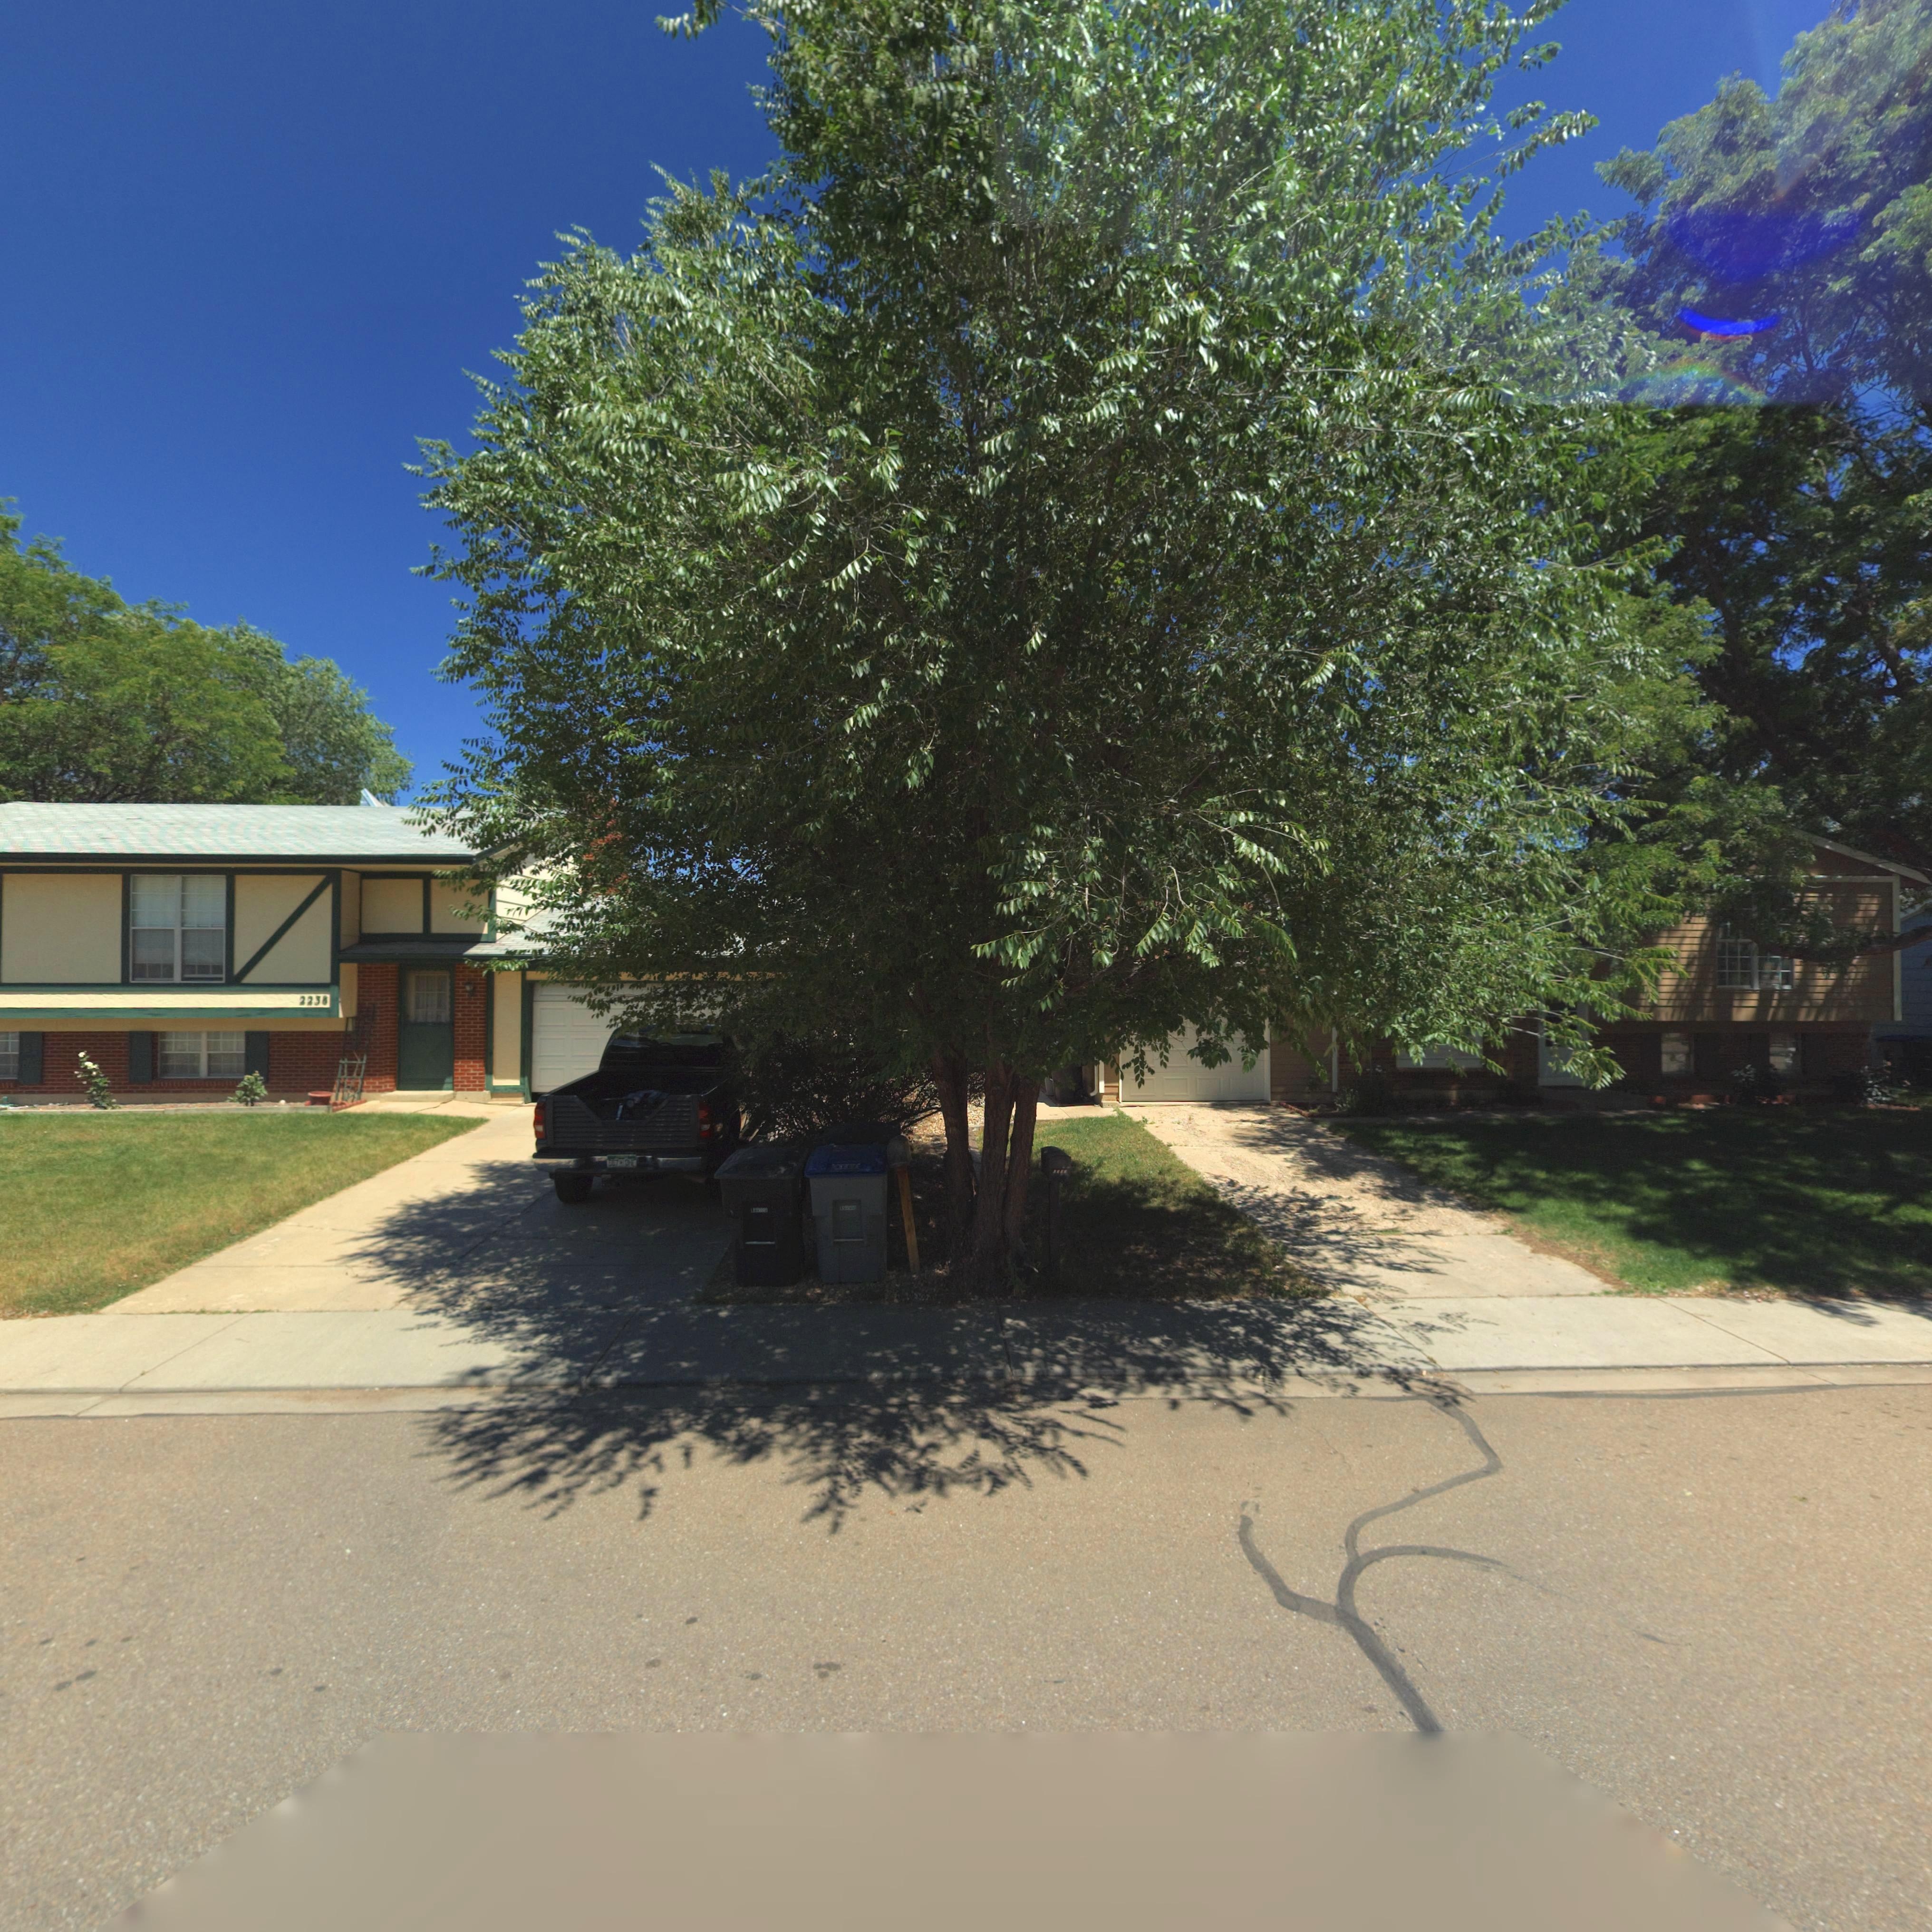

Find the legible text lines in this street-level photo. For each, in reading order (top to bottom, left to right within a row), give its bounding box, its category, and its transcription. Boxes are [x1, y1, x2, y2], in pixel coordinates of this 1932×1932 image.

[299, 995, 328, 1005] StreetNumber: 2238